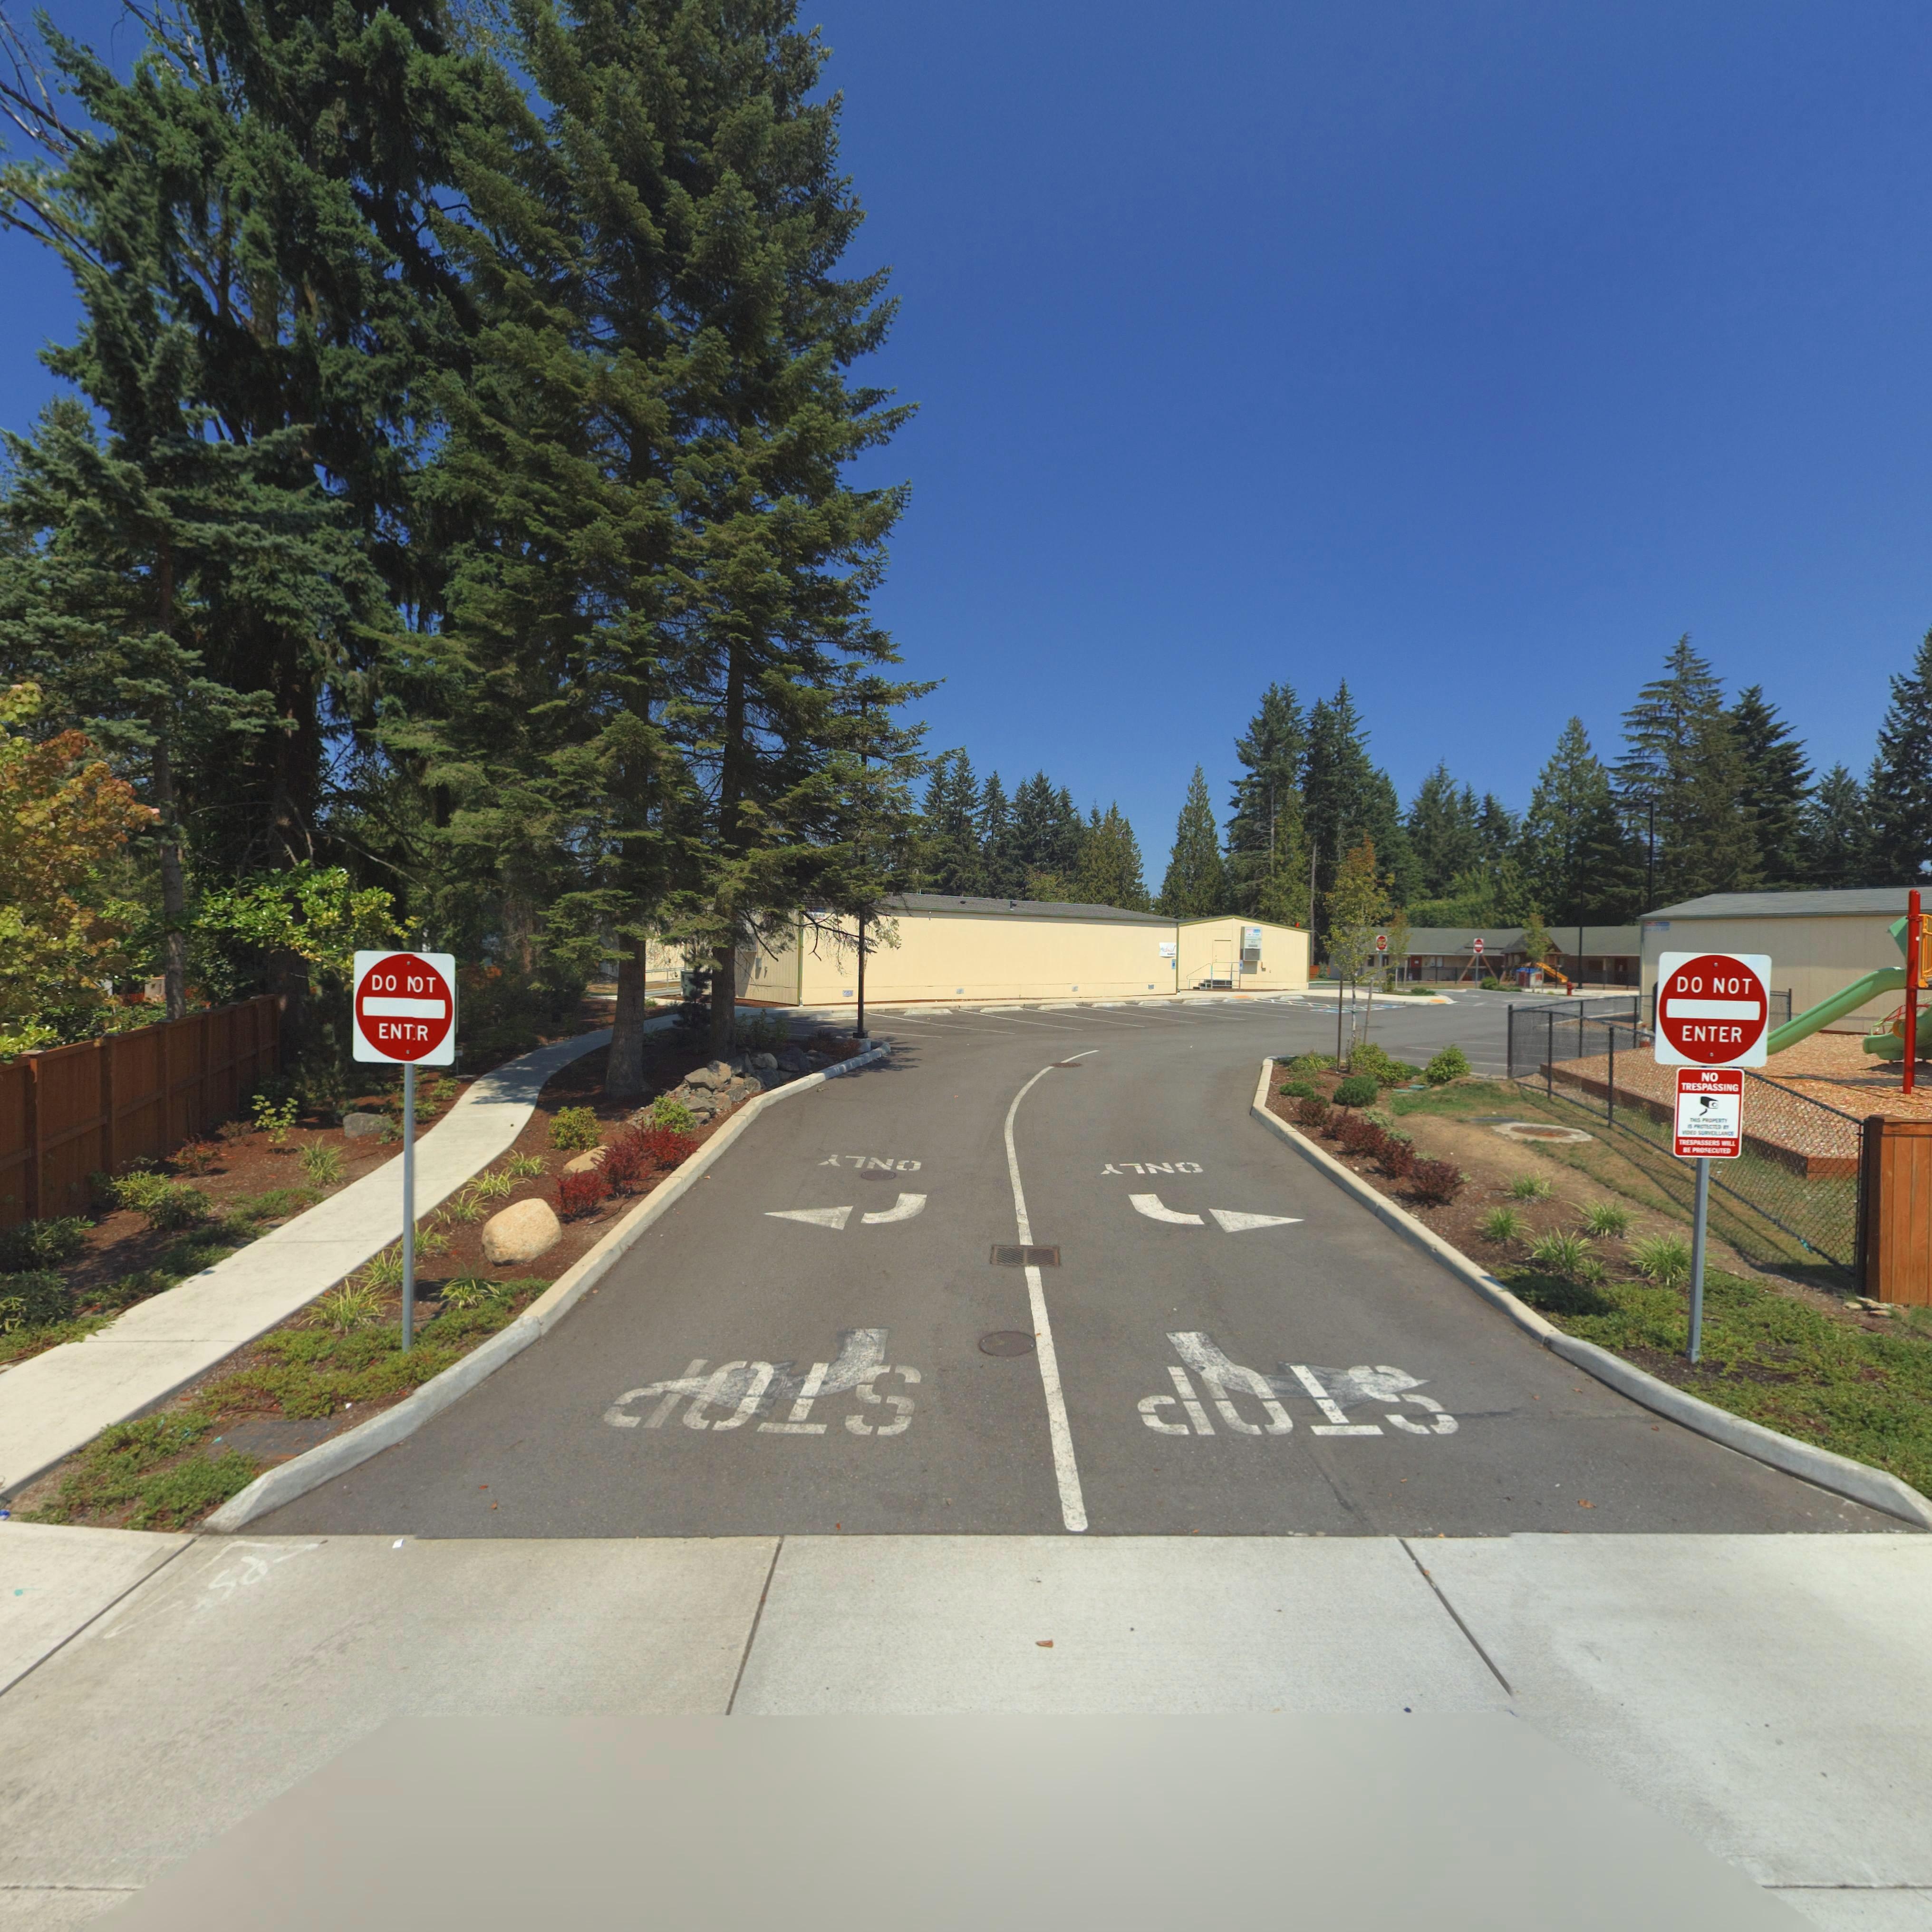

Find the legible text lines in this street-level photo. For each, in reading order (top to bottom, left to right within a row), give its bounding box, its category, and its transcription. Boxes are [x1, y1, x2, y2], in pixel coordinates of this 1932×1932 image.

[1682, 1025, 1741, 1042] BusinessName: ENTER